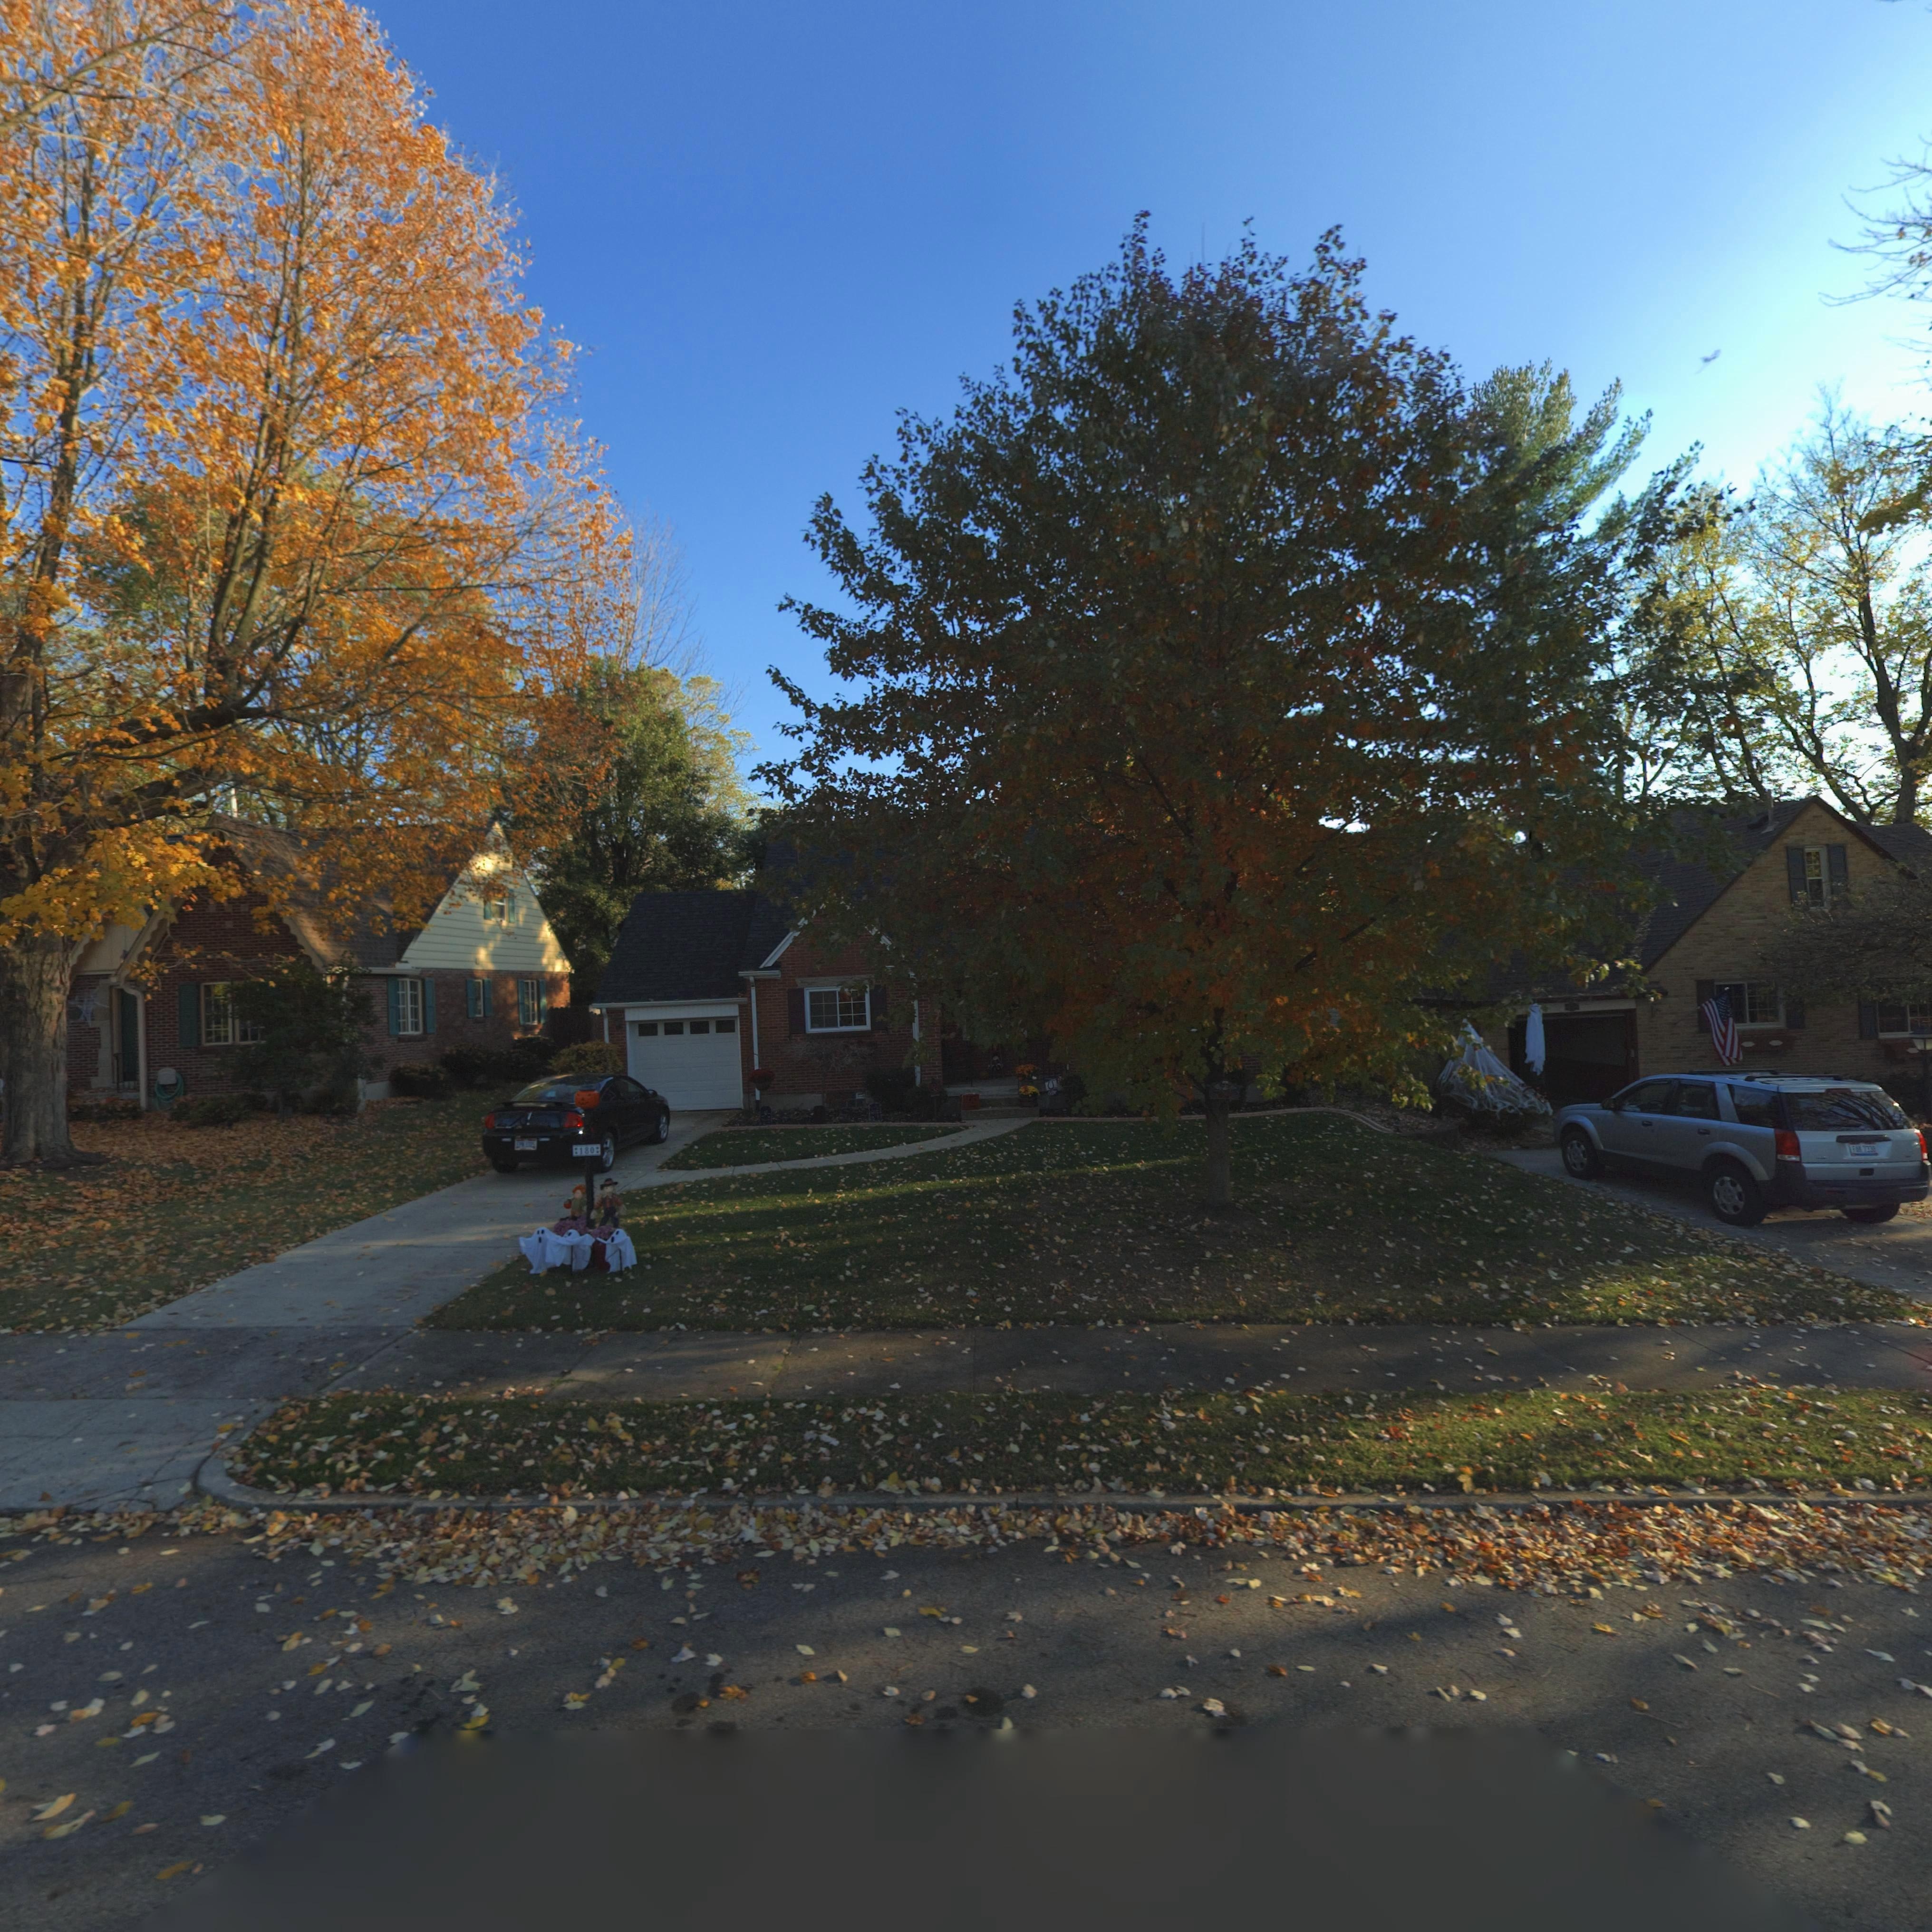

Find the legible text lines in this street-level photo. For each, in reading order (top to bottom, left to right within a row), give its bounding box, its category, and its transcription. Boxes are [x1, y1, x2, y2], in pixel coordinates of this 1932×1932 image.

[579, 1145, 595, 1156] StreetNumber: 180